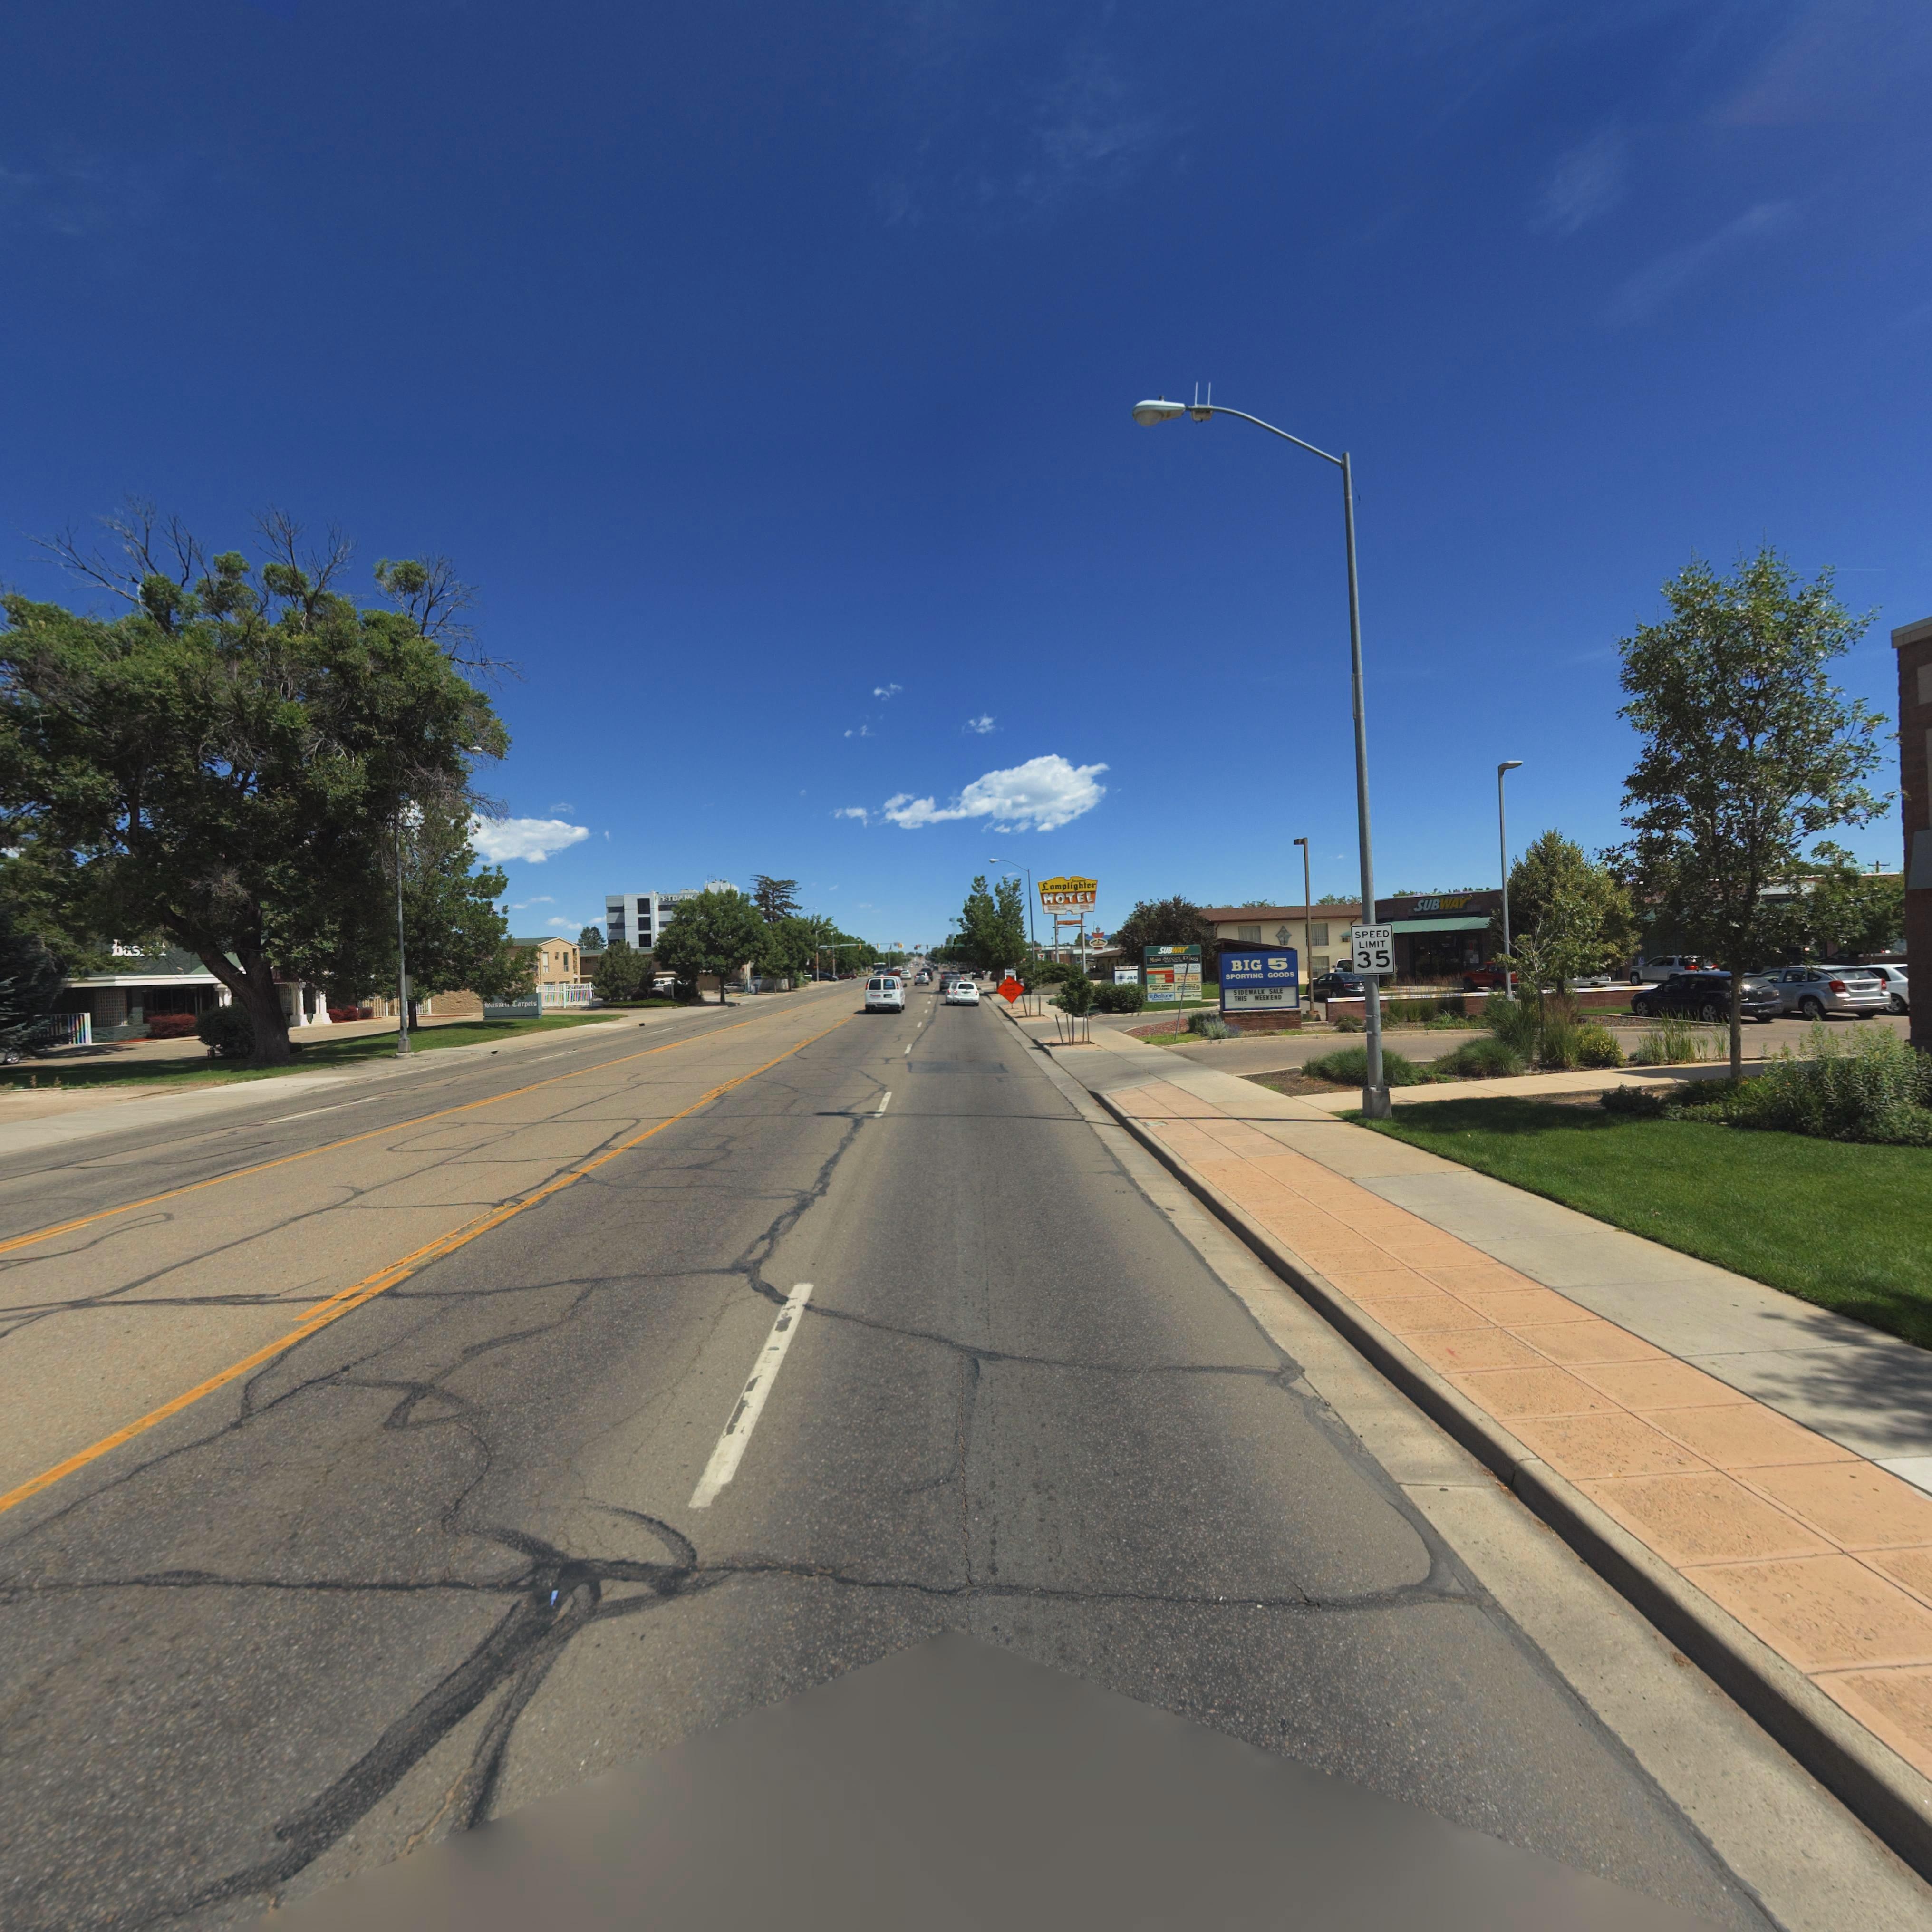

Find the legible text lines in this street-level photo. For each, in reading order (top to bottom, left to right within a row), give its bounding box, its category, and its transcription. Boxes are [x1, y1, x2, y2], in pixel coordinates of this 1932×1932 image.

[1041, 881, 1097, 891] BusinessName: Lamplighter
[659, 894, 695, 902] BusinessName: 1STBAN*
[1042, 891, 1093, 904] BusinessName: MOTEL
[1412, 895, 1474, 913] BusinessName: SUBWAY
[110, 938, 168, 959] BusinessName: bas****
[1157, 946, 1189, 954] BusinessName: SUBWAY
[1038, 954, 1044, 960] BusinessName: 7
[1174, 964, 1199, 969] BusinessName: *O*G******
[1230, 956, 1289, 972] BusinessName: BIG 5
[1225, 971, 1295, 980] BusinessName: SPORTING GOODS
[1153, 992, 1173, 998] BusinessName: Beltone
[483, 999, 538, 1008] BusinessName: *ass*** Carpets